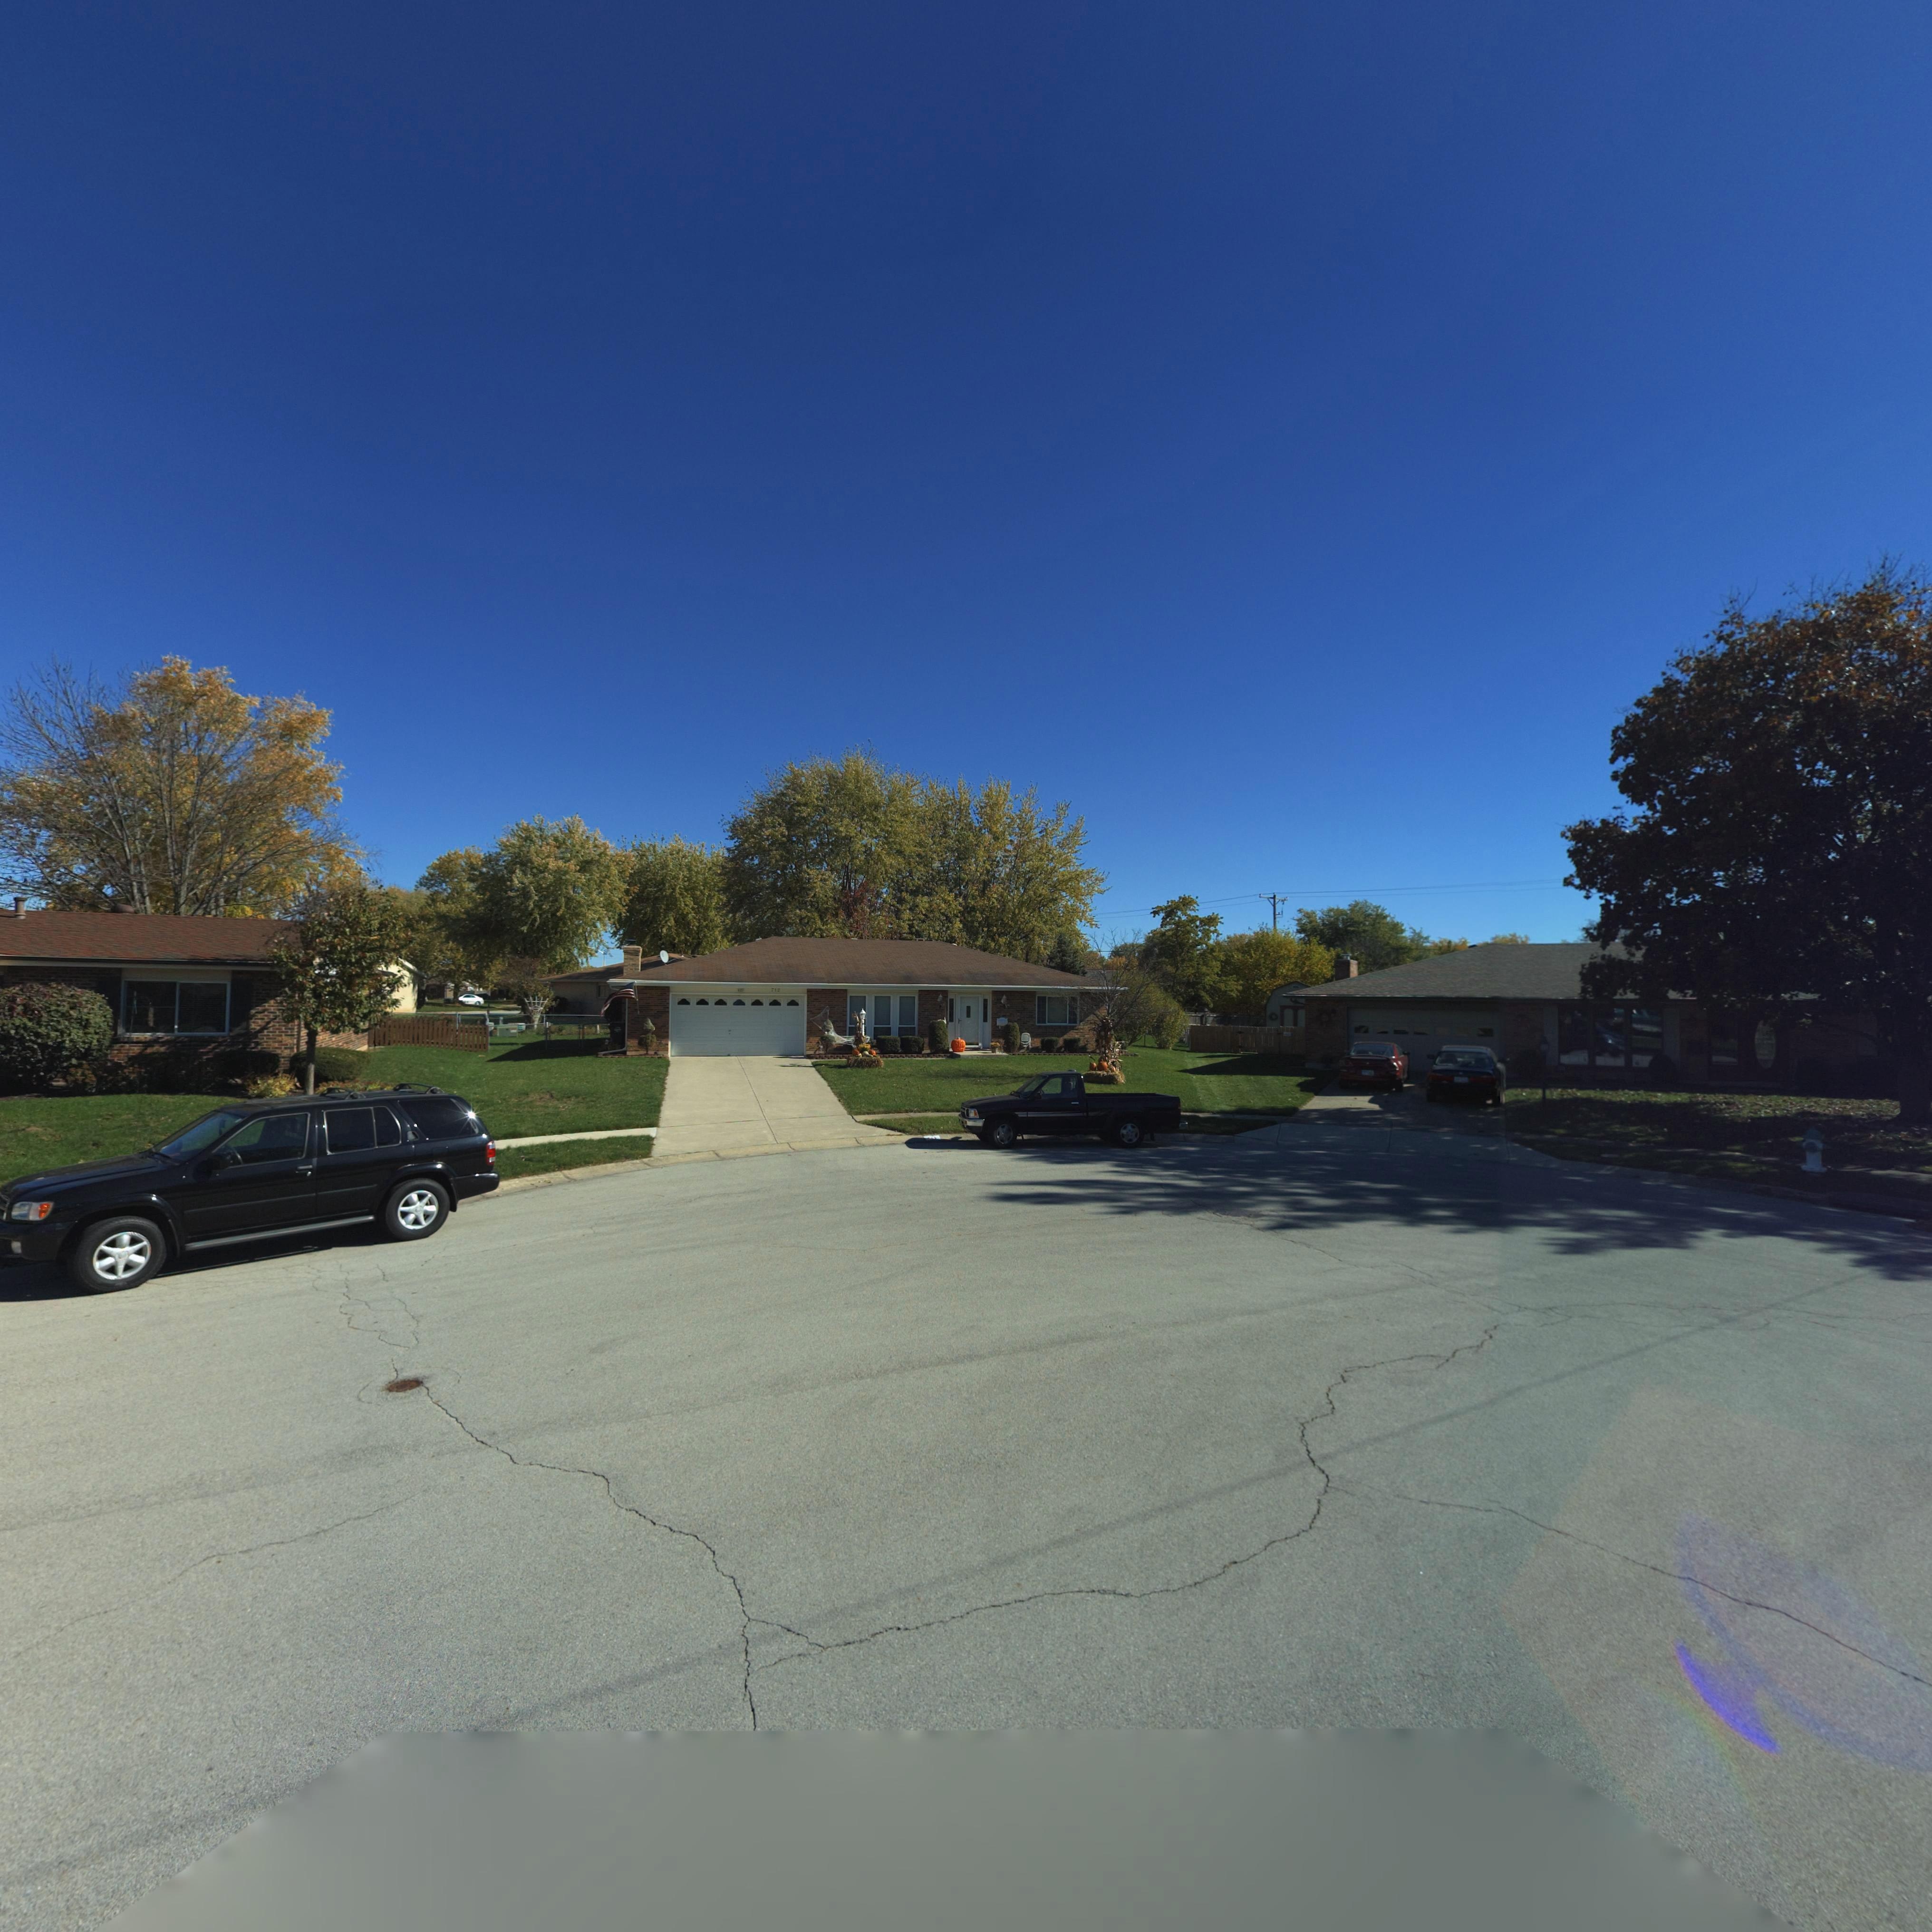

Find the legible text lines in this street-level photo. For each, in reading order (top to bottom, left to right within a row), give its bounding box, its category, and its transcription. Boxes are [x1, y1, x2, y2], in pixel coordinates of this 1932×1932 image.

[771, 987, 781, 993] StreetNumber: 712